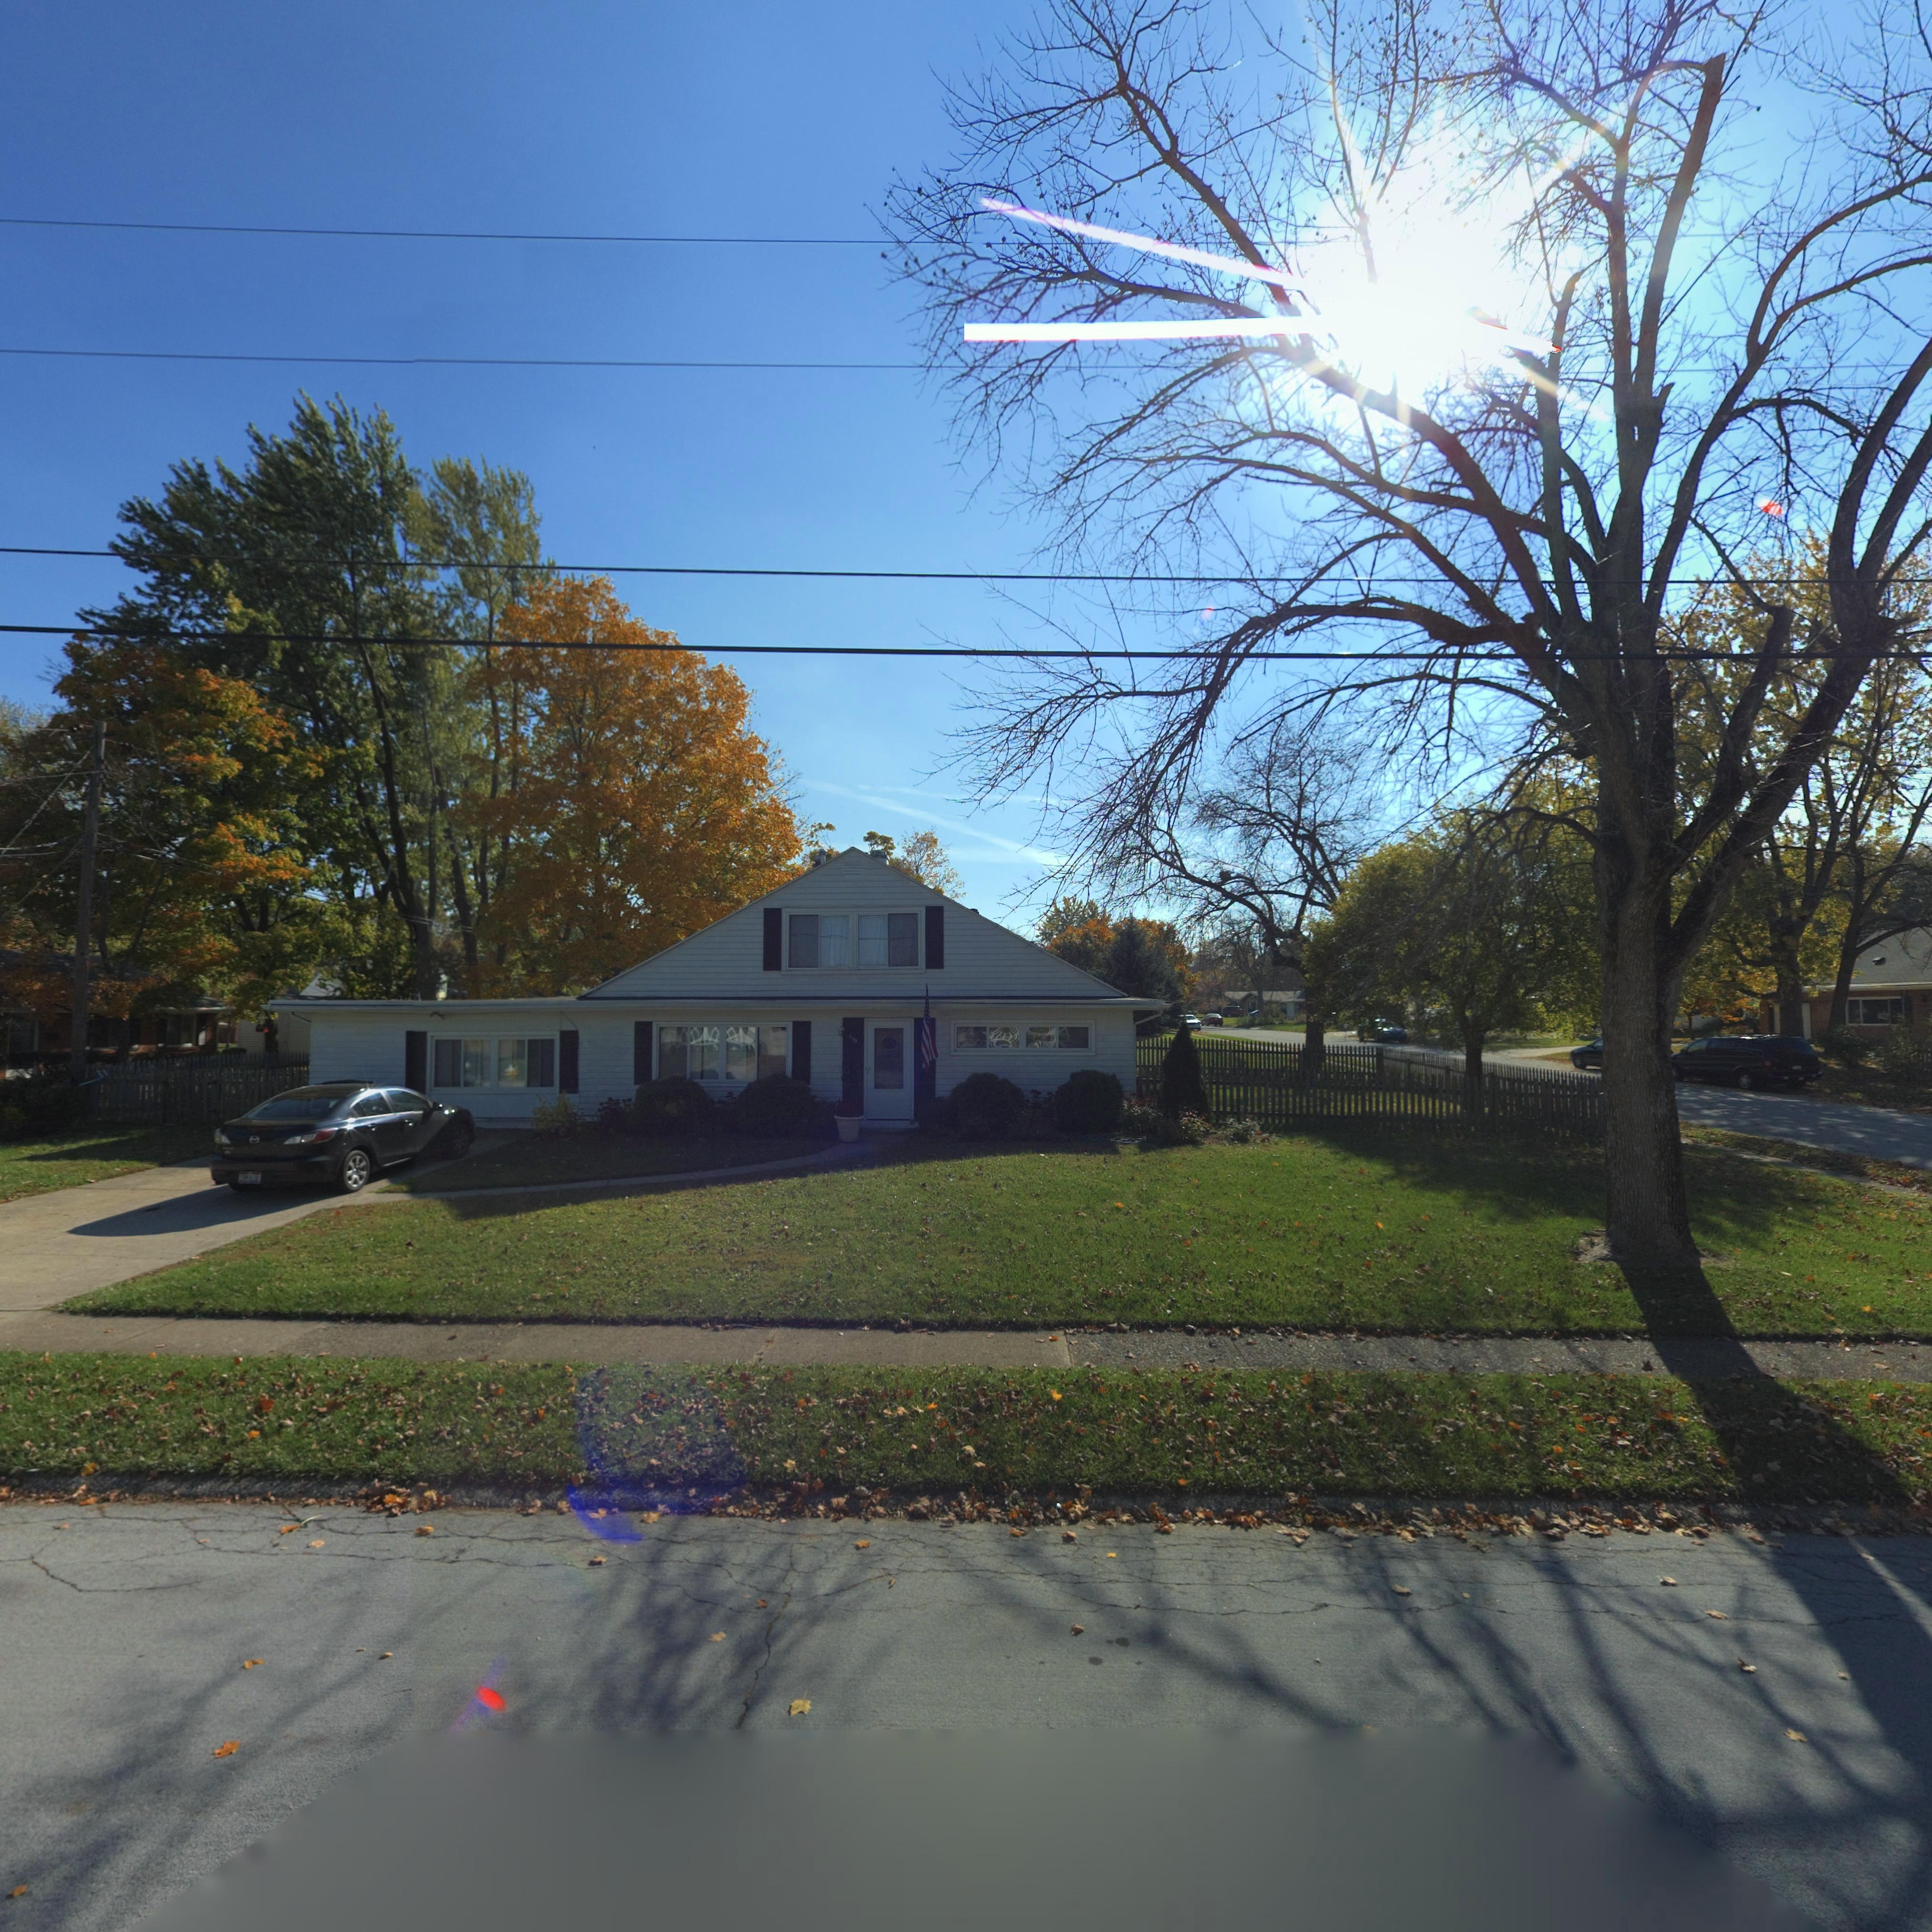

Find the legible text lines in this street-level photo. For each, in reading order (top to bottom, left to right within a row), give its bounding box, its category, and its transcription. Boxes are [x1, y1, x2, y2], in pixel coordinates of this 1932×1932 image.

[848, 1034, 857, 1044] StreetNumber: 930